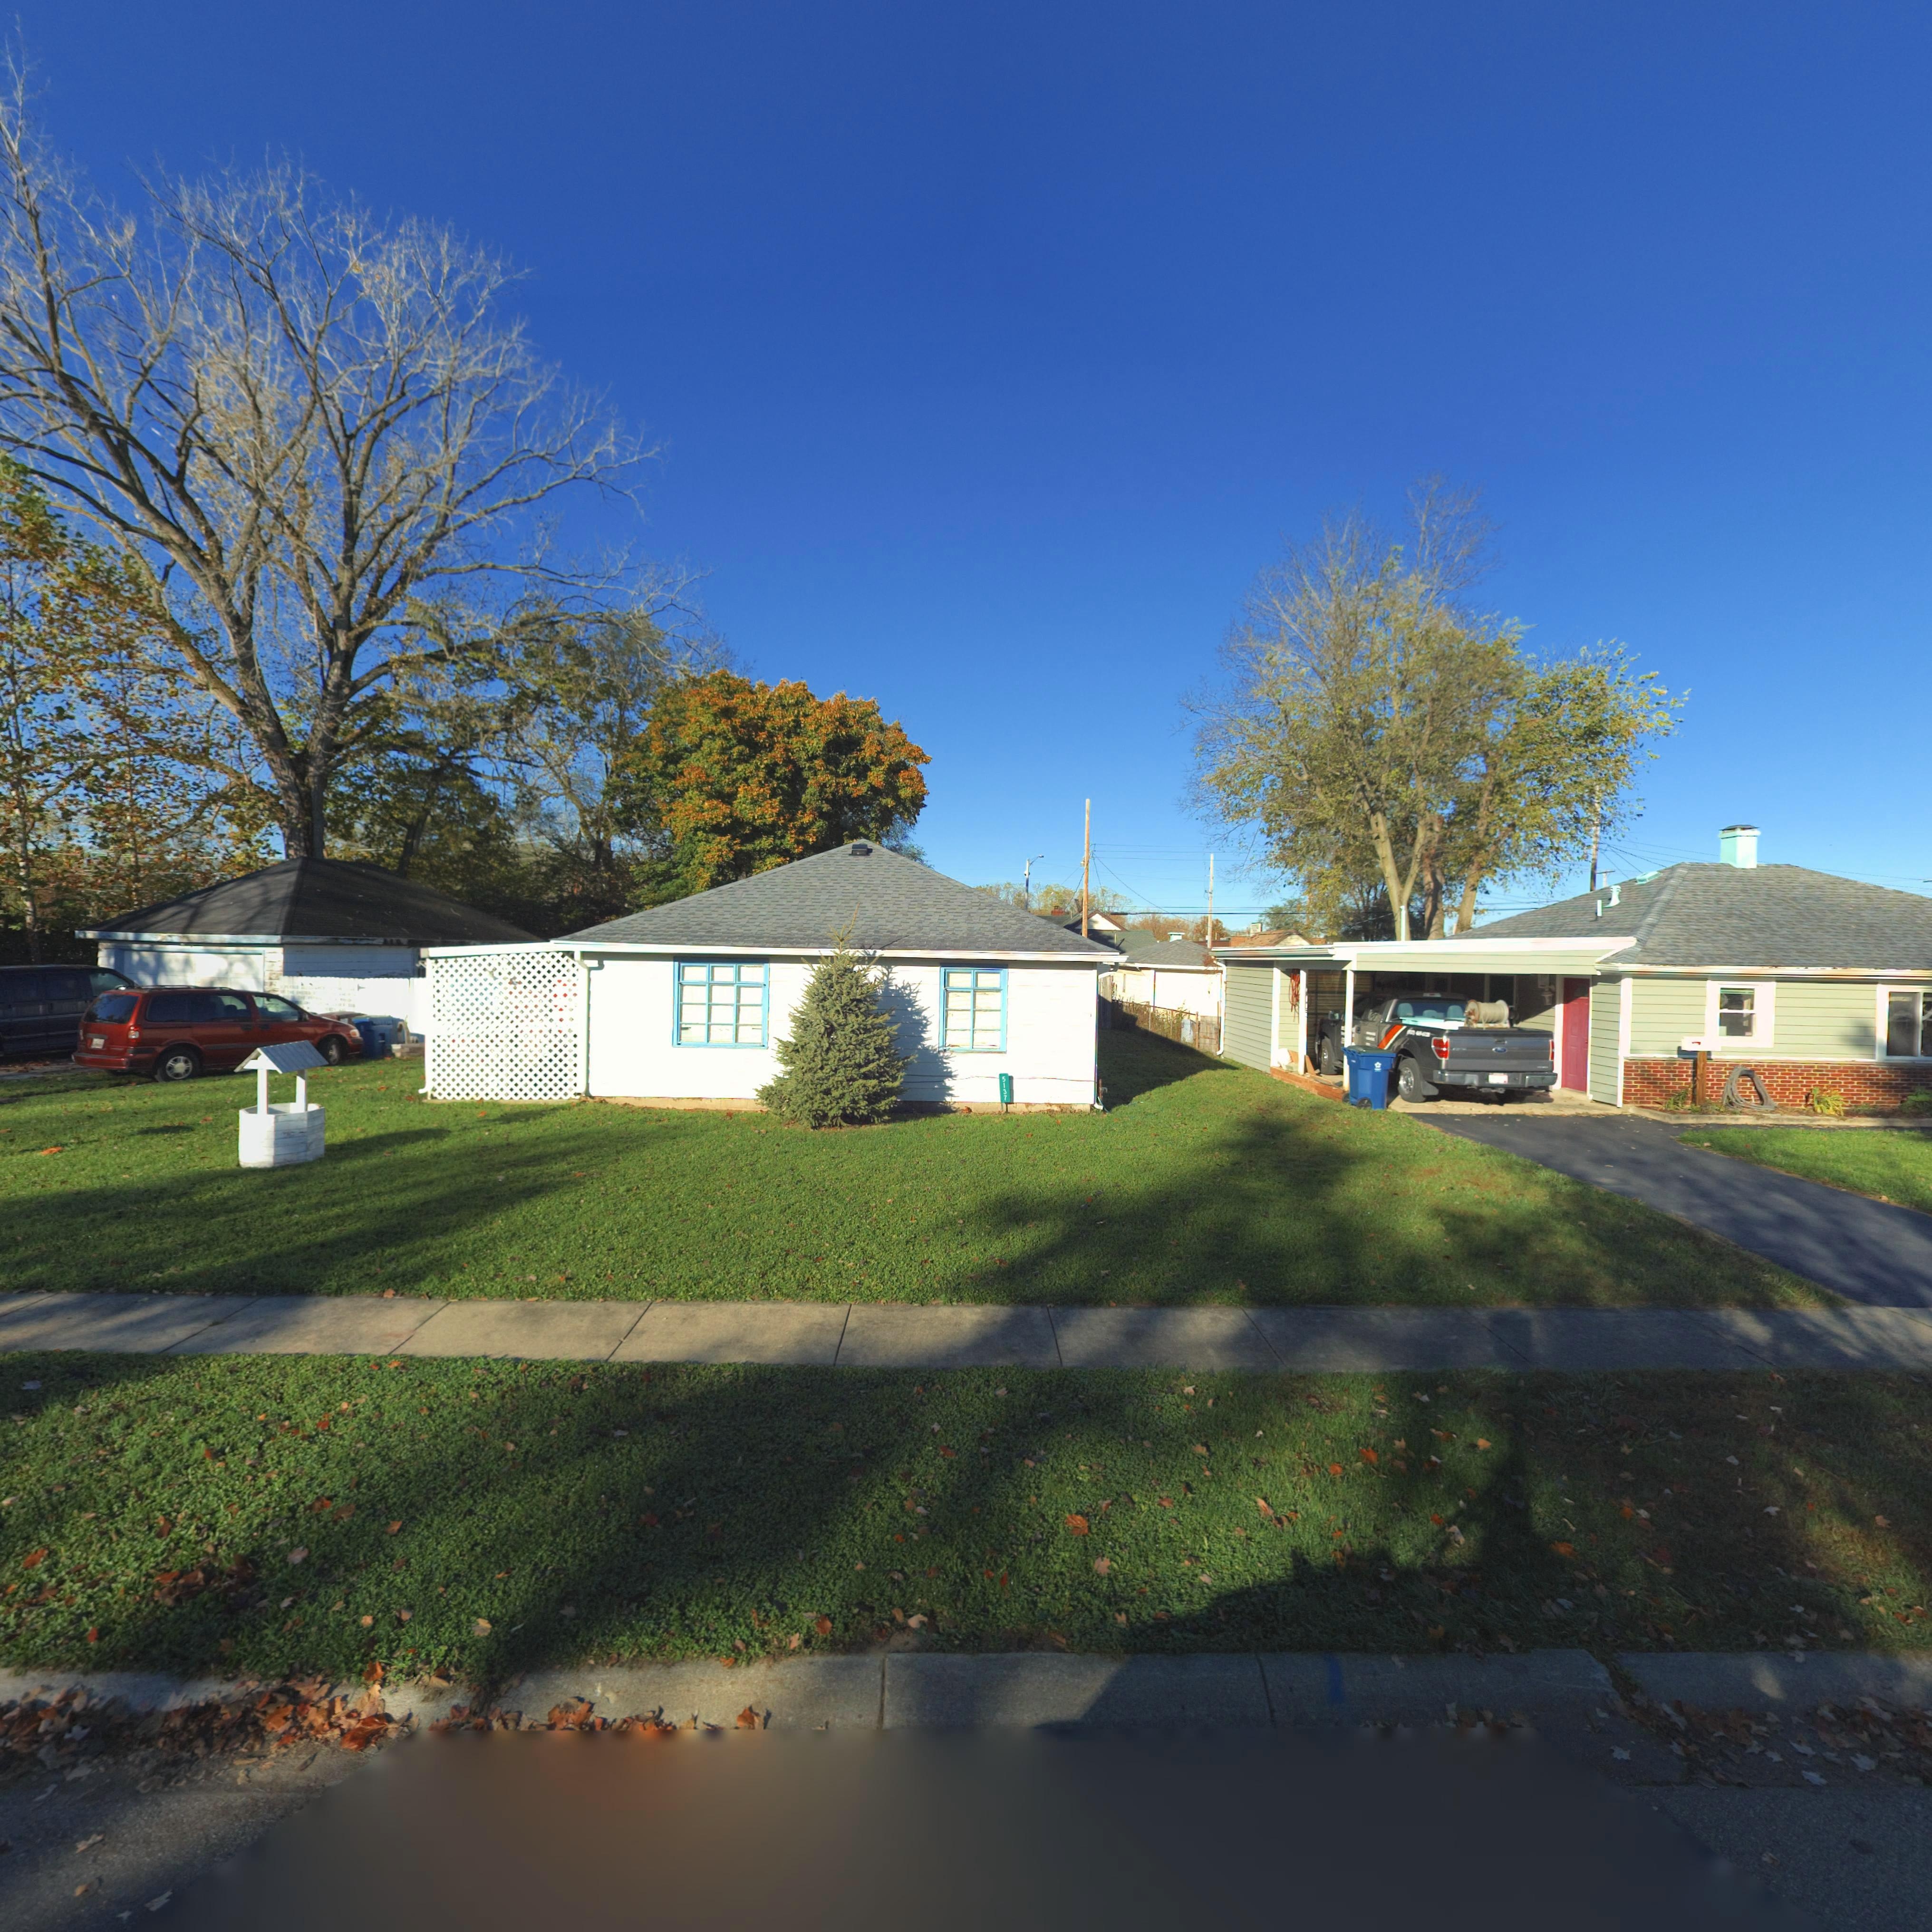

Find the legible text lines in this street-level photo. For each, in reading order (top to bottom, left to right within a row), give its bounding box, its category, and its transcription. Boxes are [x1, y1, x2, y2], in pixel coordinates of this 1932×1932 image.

[1001, 1075, 1007, 1101] StreetNumber: 5137